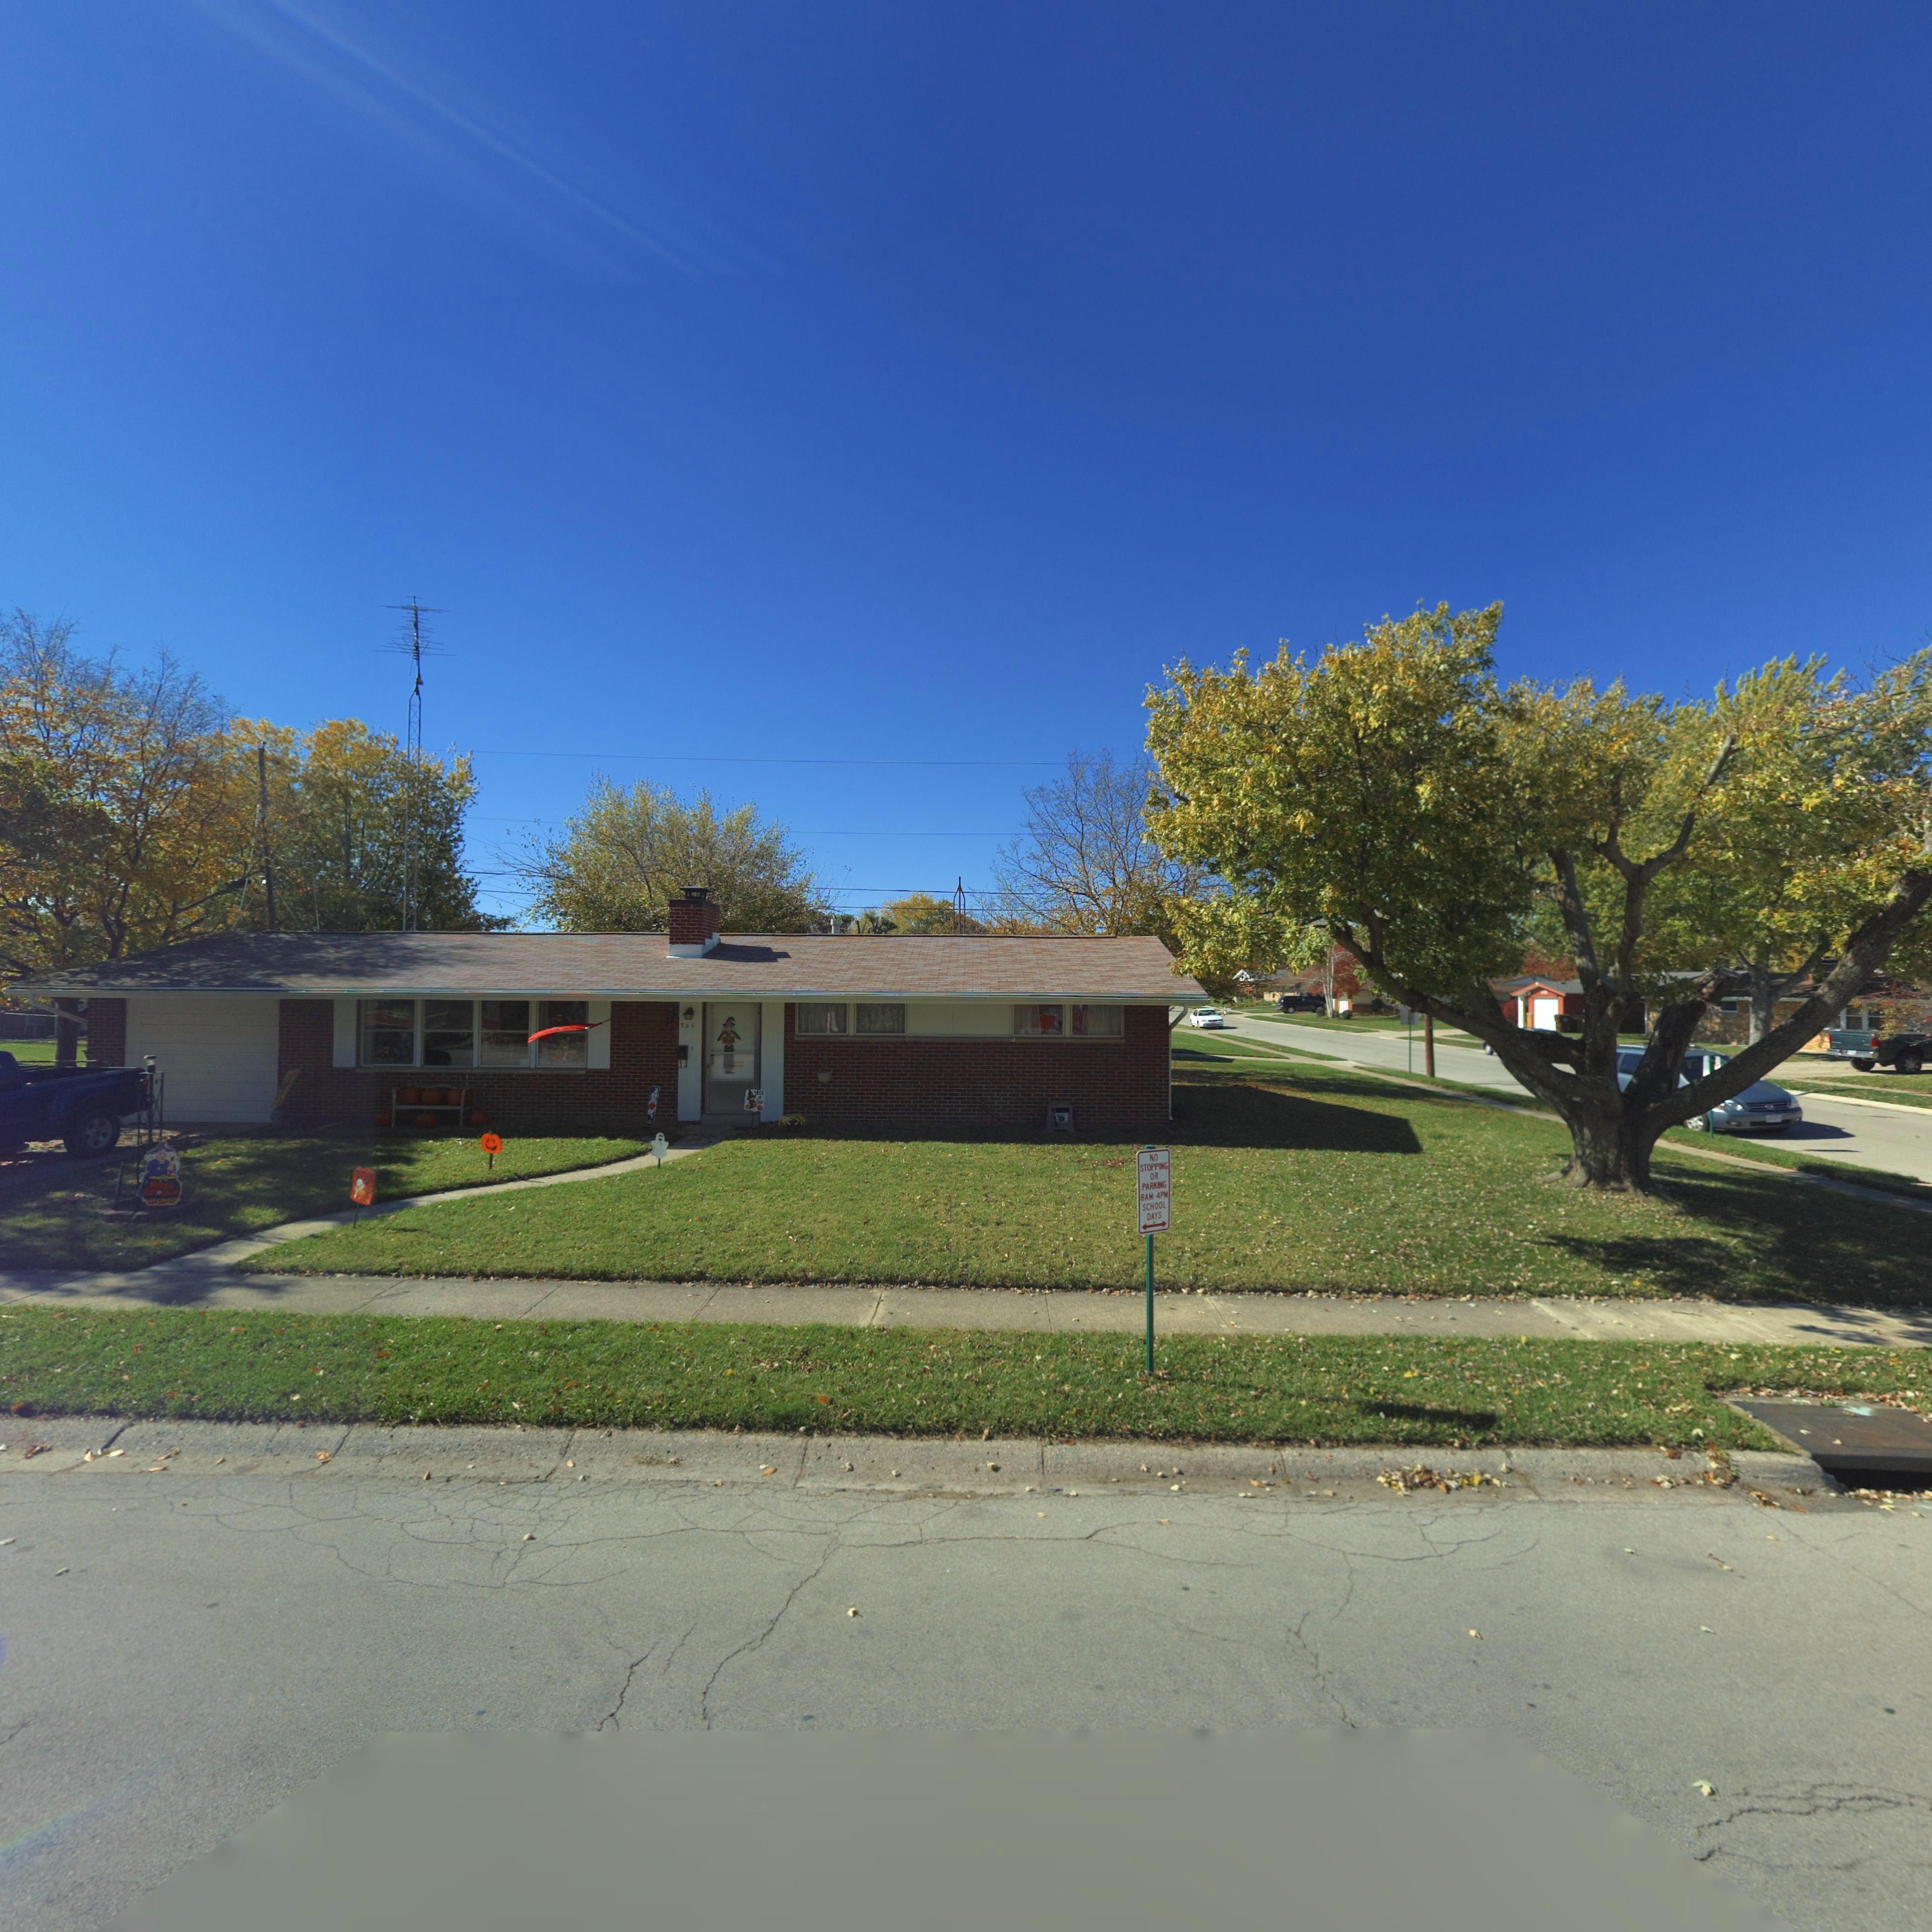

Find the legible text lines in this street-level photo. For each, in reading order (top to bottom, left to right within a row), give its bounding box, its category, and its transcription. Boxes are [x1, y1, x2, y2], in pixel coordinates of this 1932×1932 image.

[679, 1022, 695, 1030] StreetNumber: 701
[753, 1090, 764, 1096] None: TRICK
[1149, 1153, 1159, 1162] None: NO
[1139, 1161, 1169, 1173] None: STOPPING
[364, 1171, 372, 1186] None: O
[1150, 1172, 1159, 1181] None: OR
[1141, 1180, 1167, 1191] None: PARKING
[1140, 1189, 1169, 1202] None: 8AM-4PM
[1141, 1200, 1167, 1212] None: SCHOOL
[1146, 1210, 1162, 1222] None: DAYS